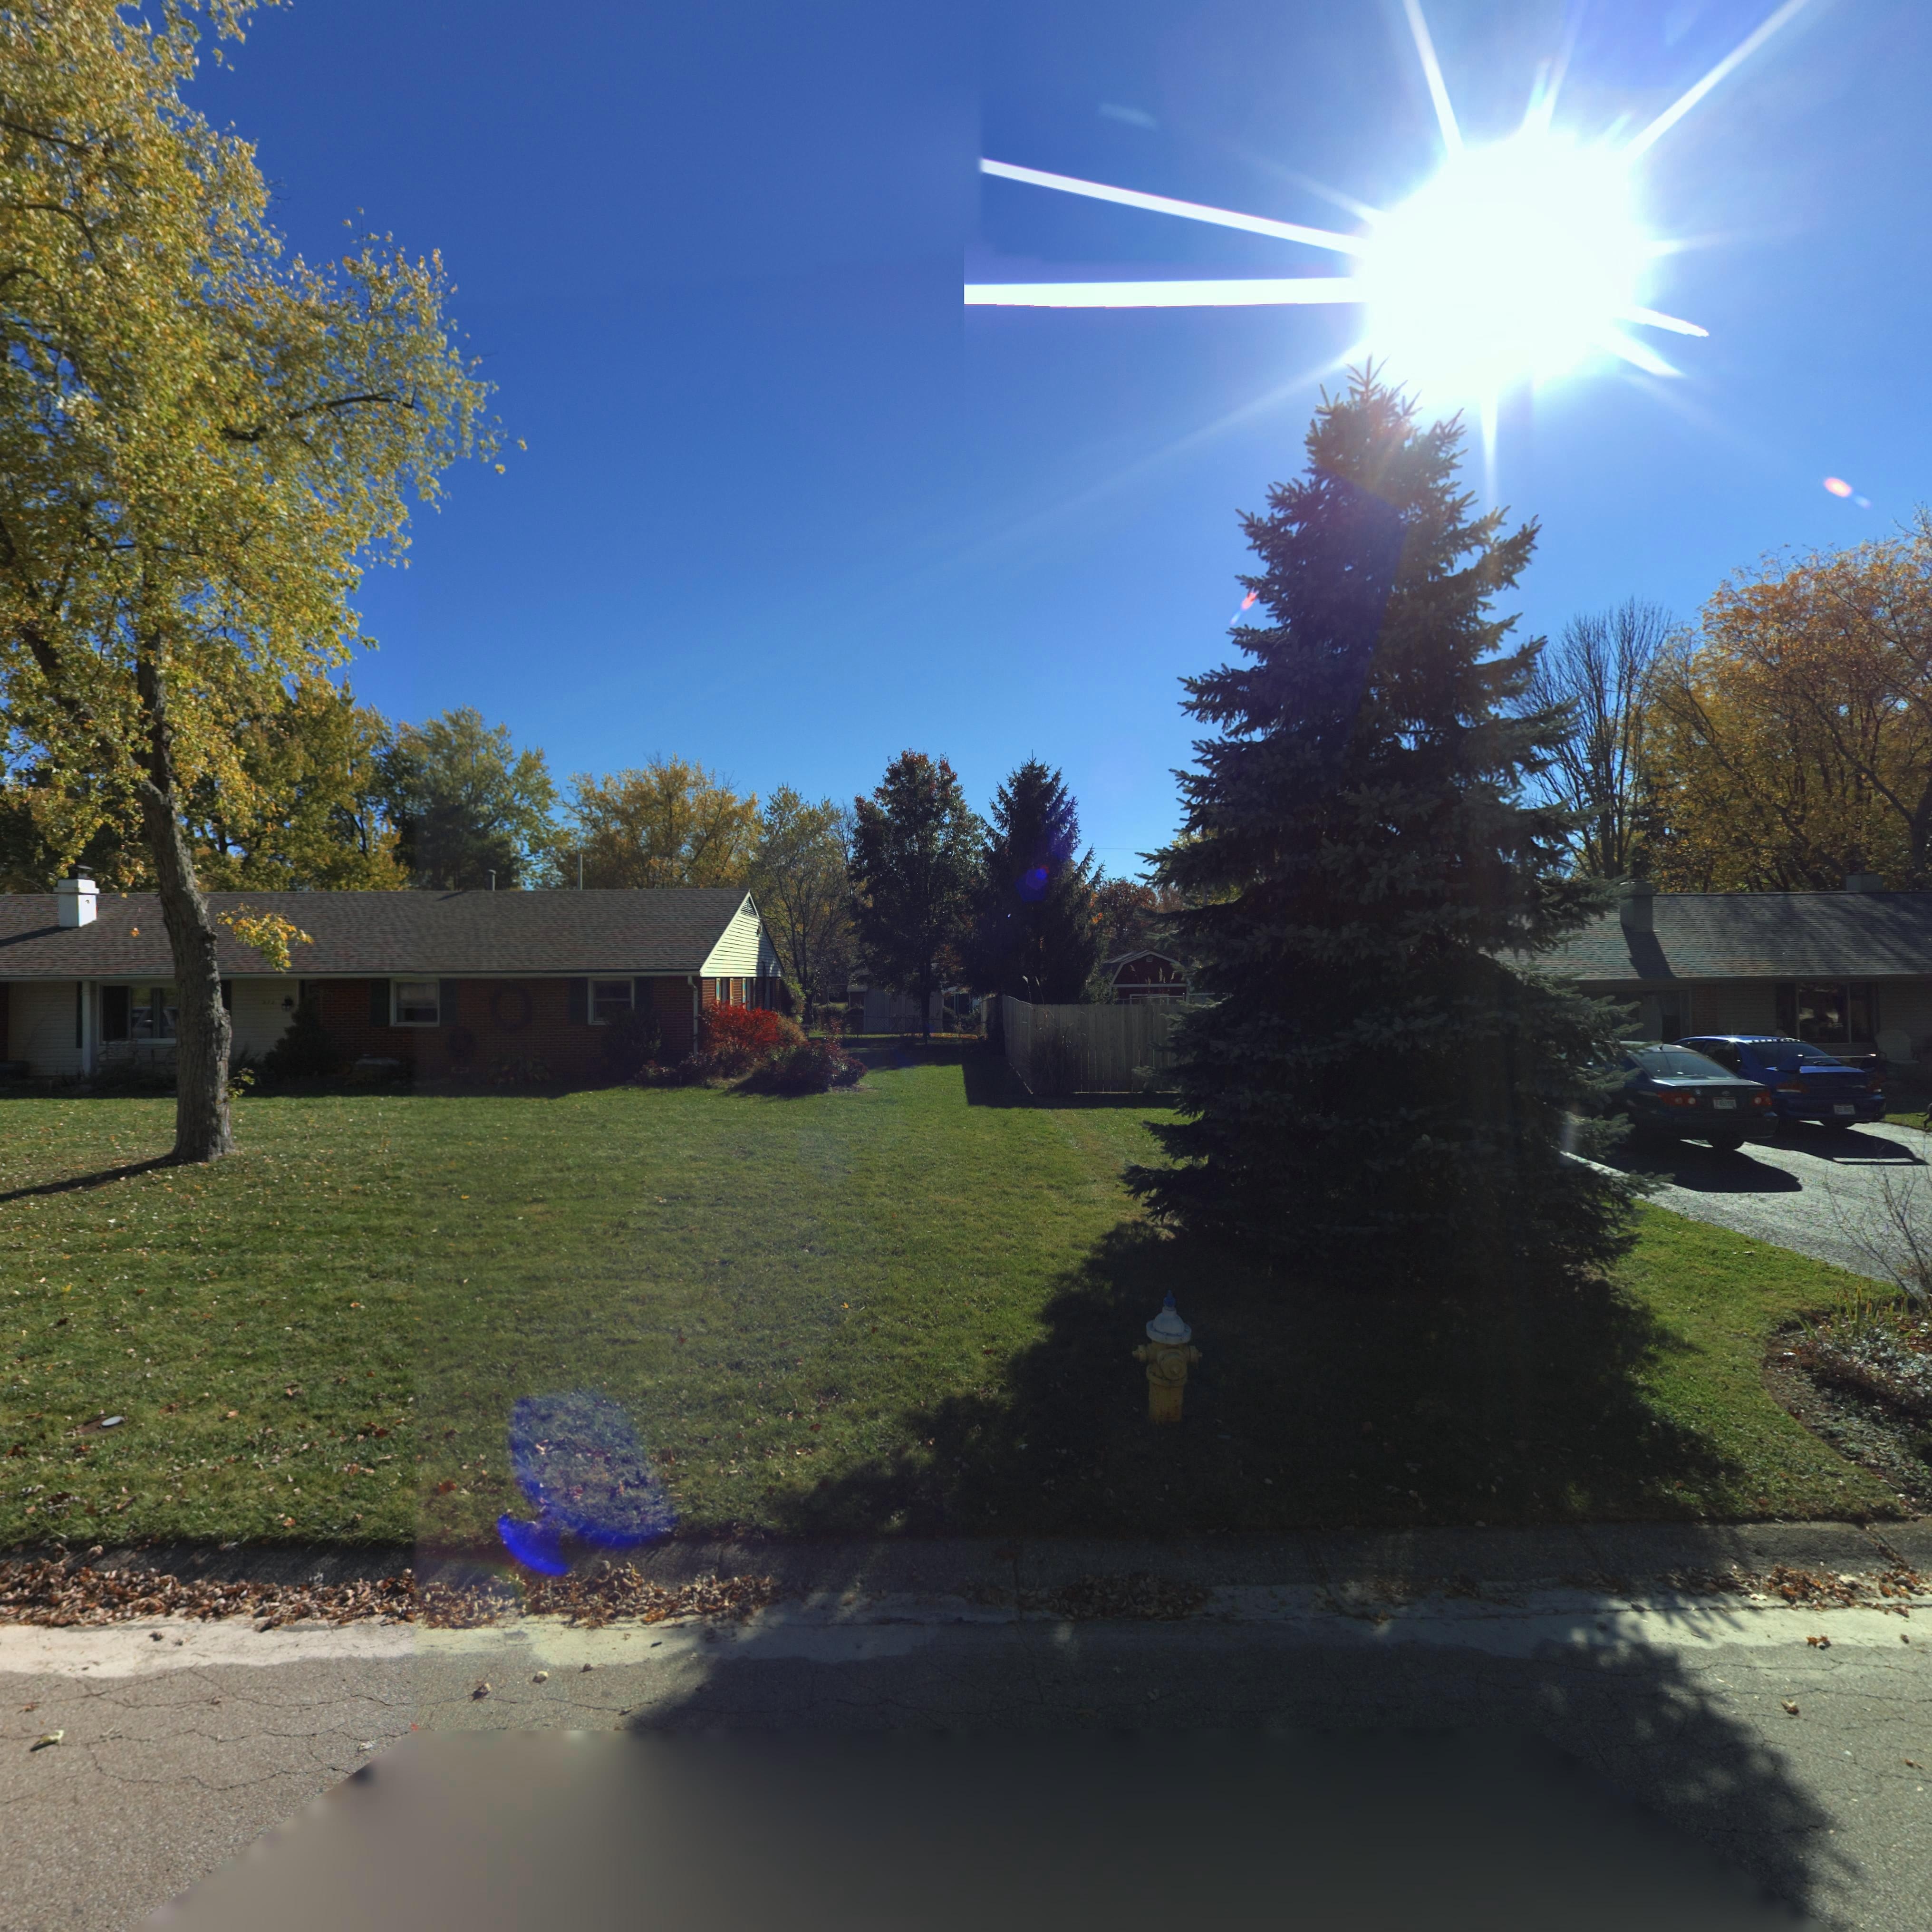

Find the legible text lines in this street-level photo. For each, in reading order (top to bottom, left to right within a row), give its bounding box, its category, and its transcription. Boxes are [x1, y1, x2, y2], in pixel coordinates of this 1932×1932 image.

[261, 999, 274, 1005] StreetNumber: *12